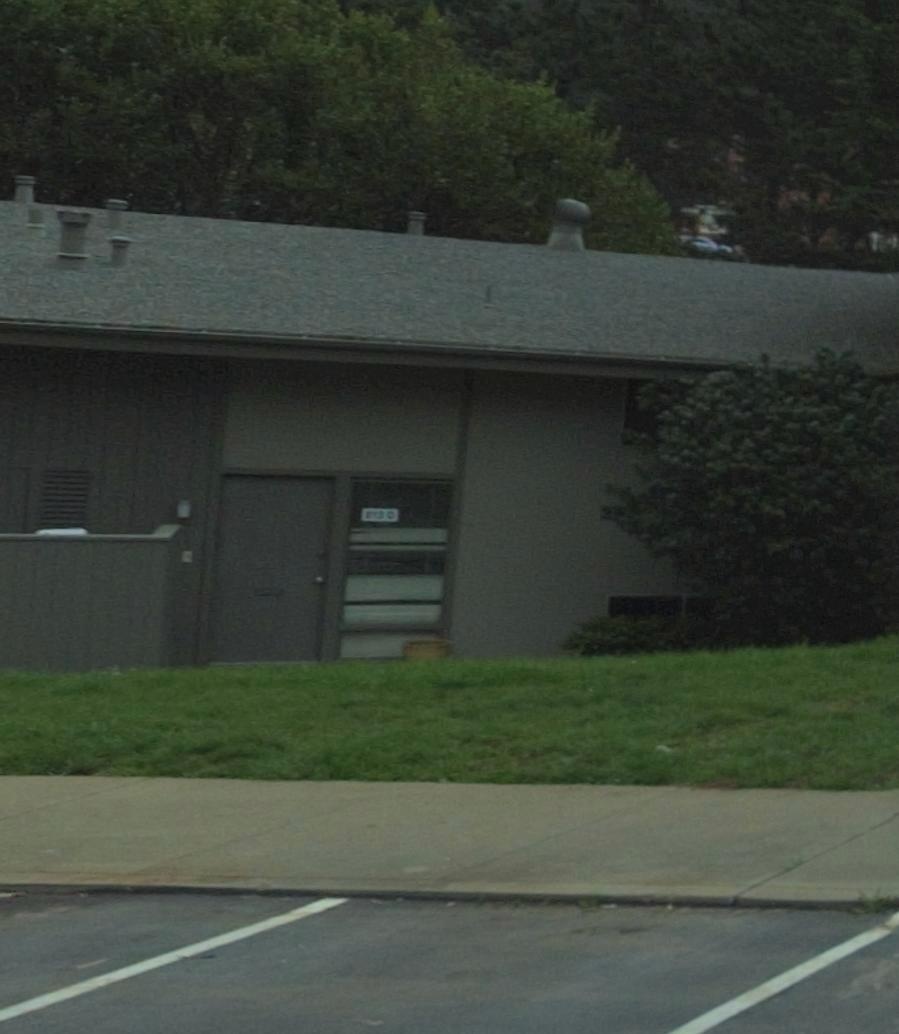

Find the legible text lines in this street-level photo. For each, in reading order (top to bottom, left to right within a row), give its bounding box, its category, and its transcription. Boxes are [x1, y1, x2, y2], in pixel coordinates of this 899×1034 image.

[364, 510, 385, 520] StreetNumber: 813